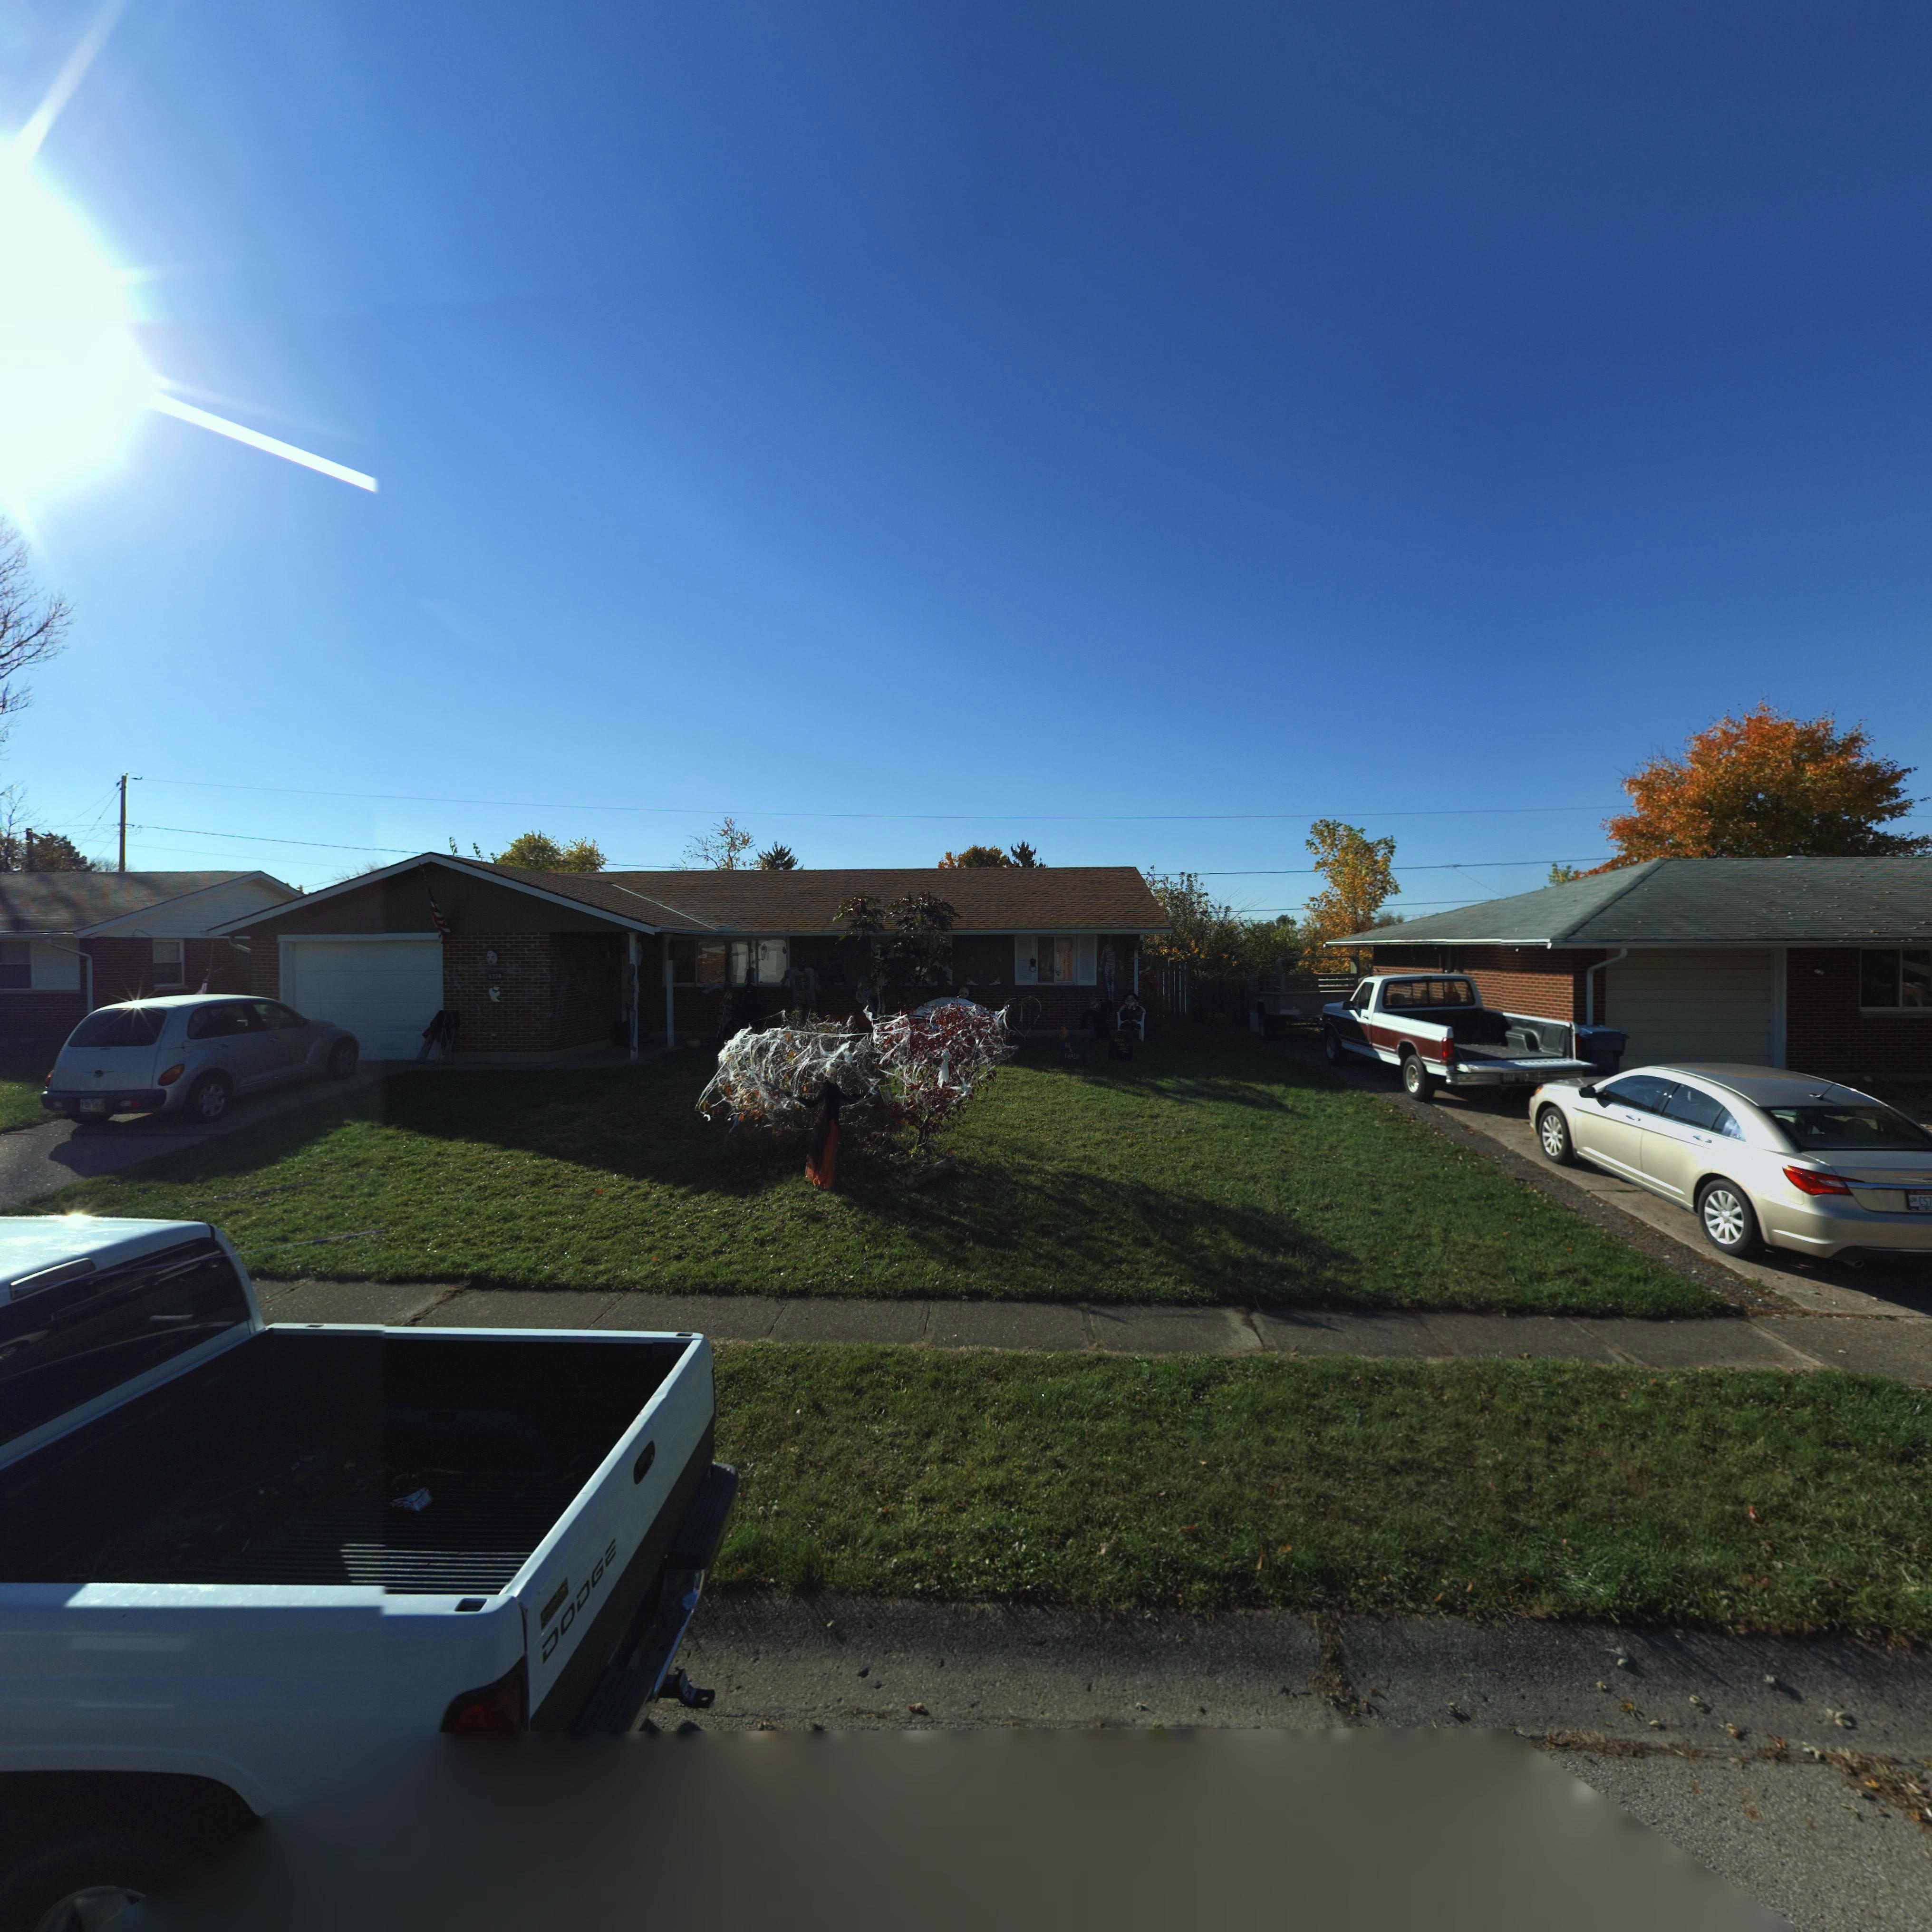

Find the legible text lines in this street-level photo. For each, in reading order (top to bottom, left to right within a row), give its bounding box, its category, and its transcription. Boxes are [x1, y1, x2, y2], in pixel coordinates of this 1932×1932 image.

[488, 973, 502, 980] StreetNumber: 6224